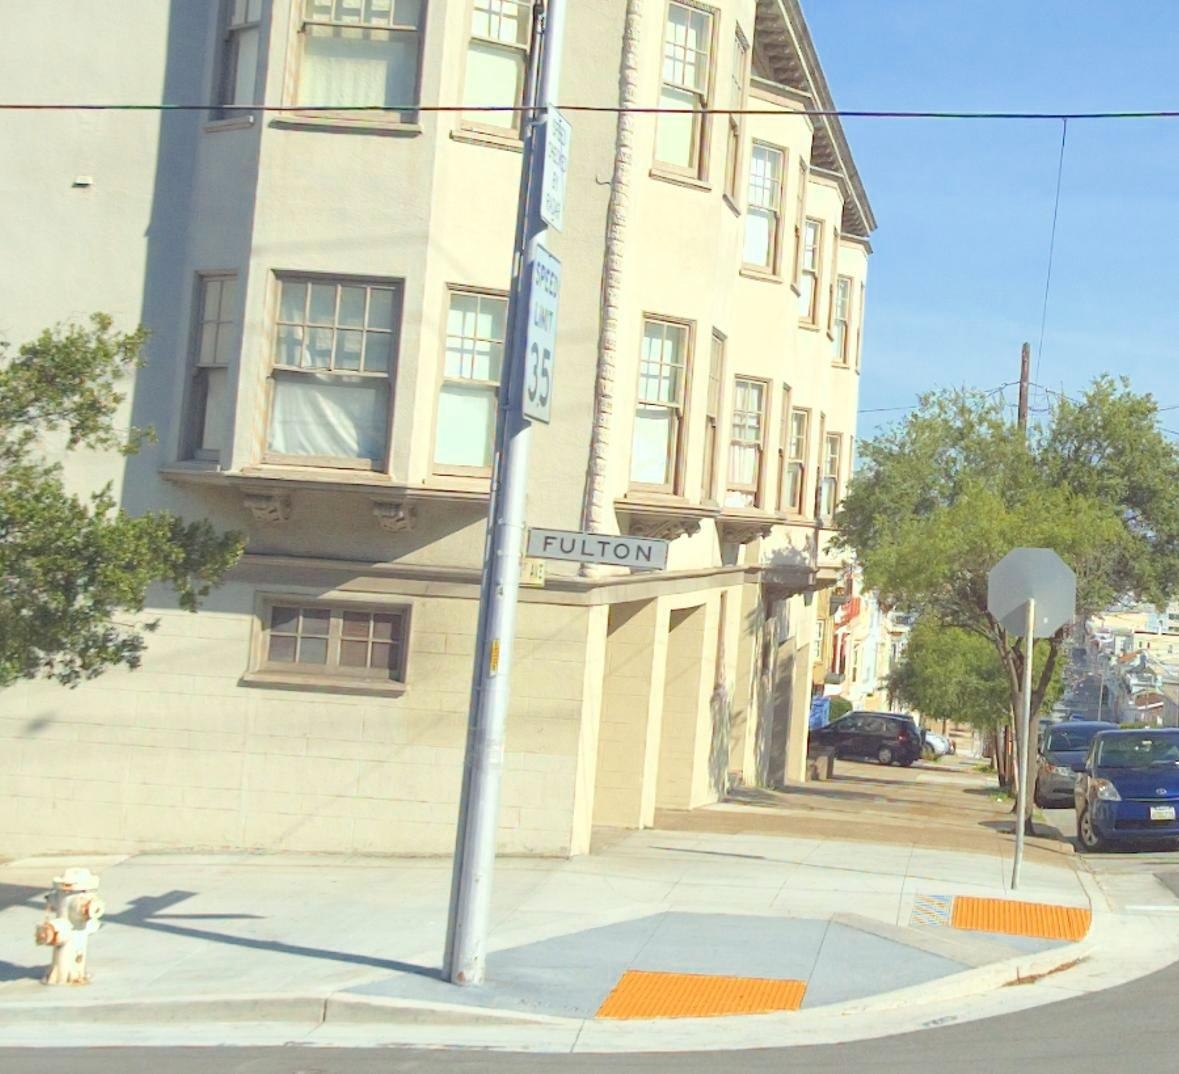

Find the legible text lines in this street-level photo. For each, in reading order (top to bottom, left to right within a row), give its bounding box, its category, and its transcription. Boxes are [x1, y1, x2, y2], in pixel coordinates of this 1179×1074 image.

[550, 116, 570, 151] None: SPEED
[549, 168, 563, 195] None: BY
[544, 192, 562, 224] None: RADAR
[532, 258, 562, 303] None: SPEED
[529, 296, 558, 339] None: LIMIT
[525, 340, 553, 414] None: 35
[539, 530, 659, 567] StreetName: FULTON
[528, 561, 545, 585] StreetName: AVE